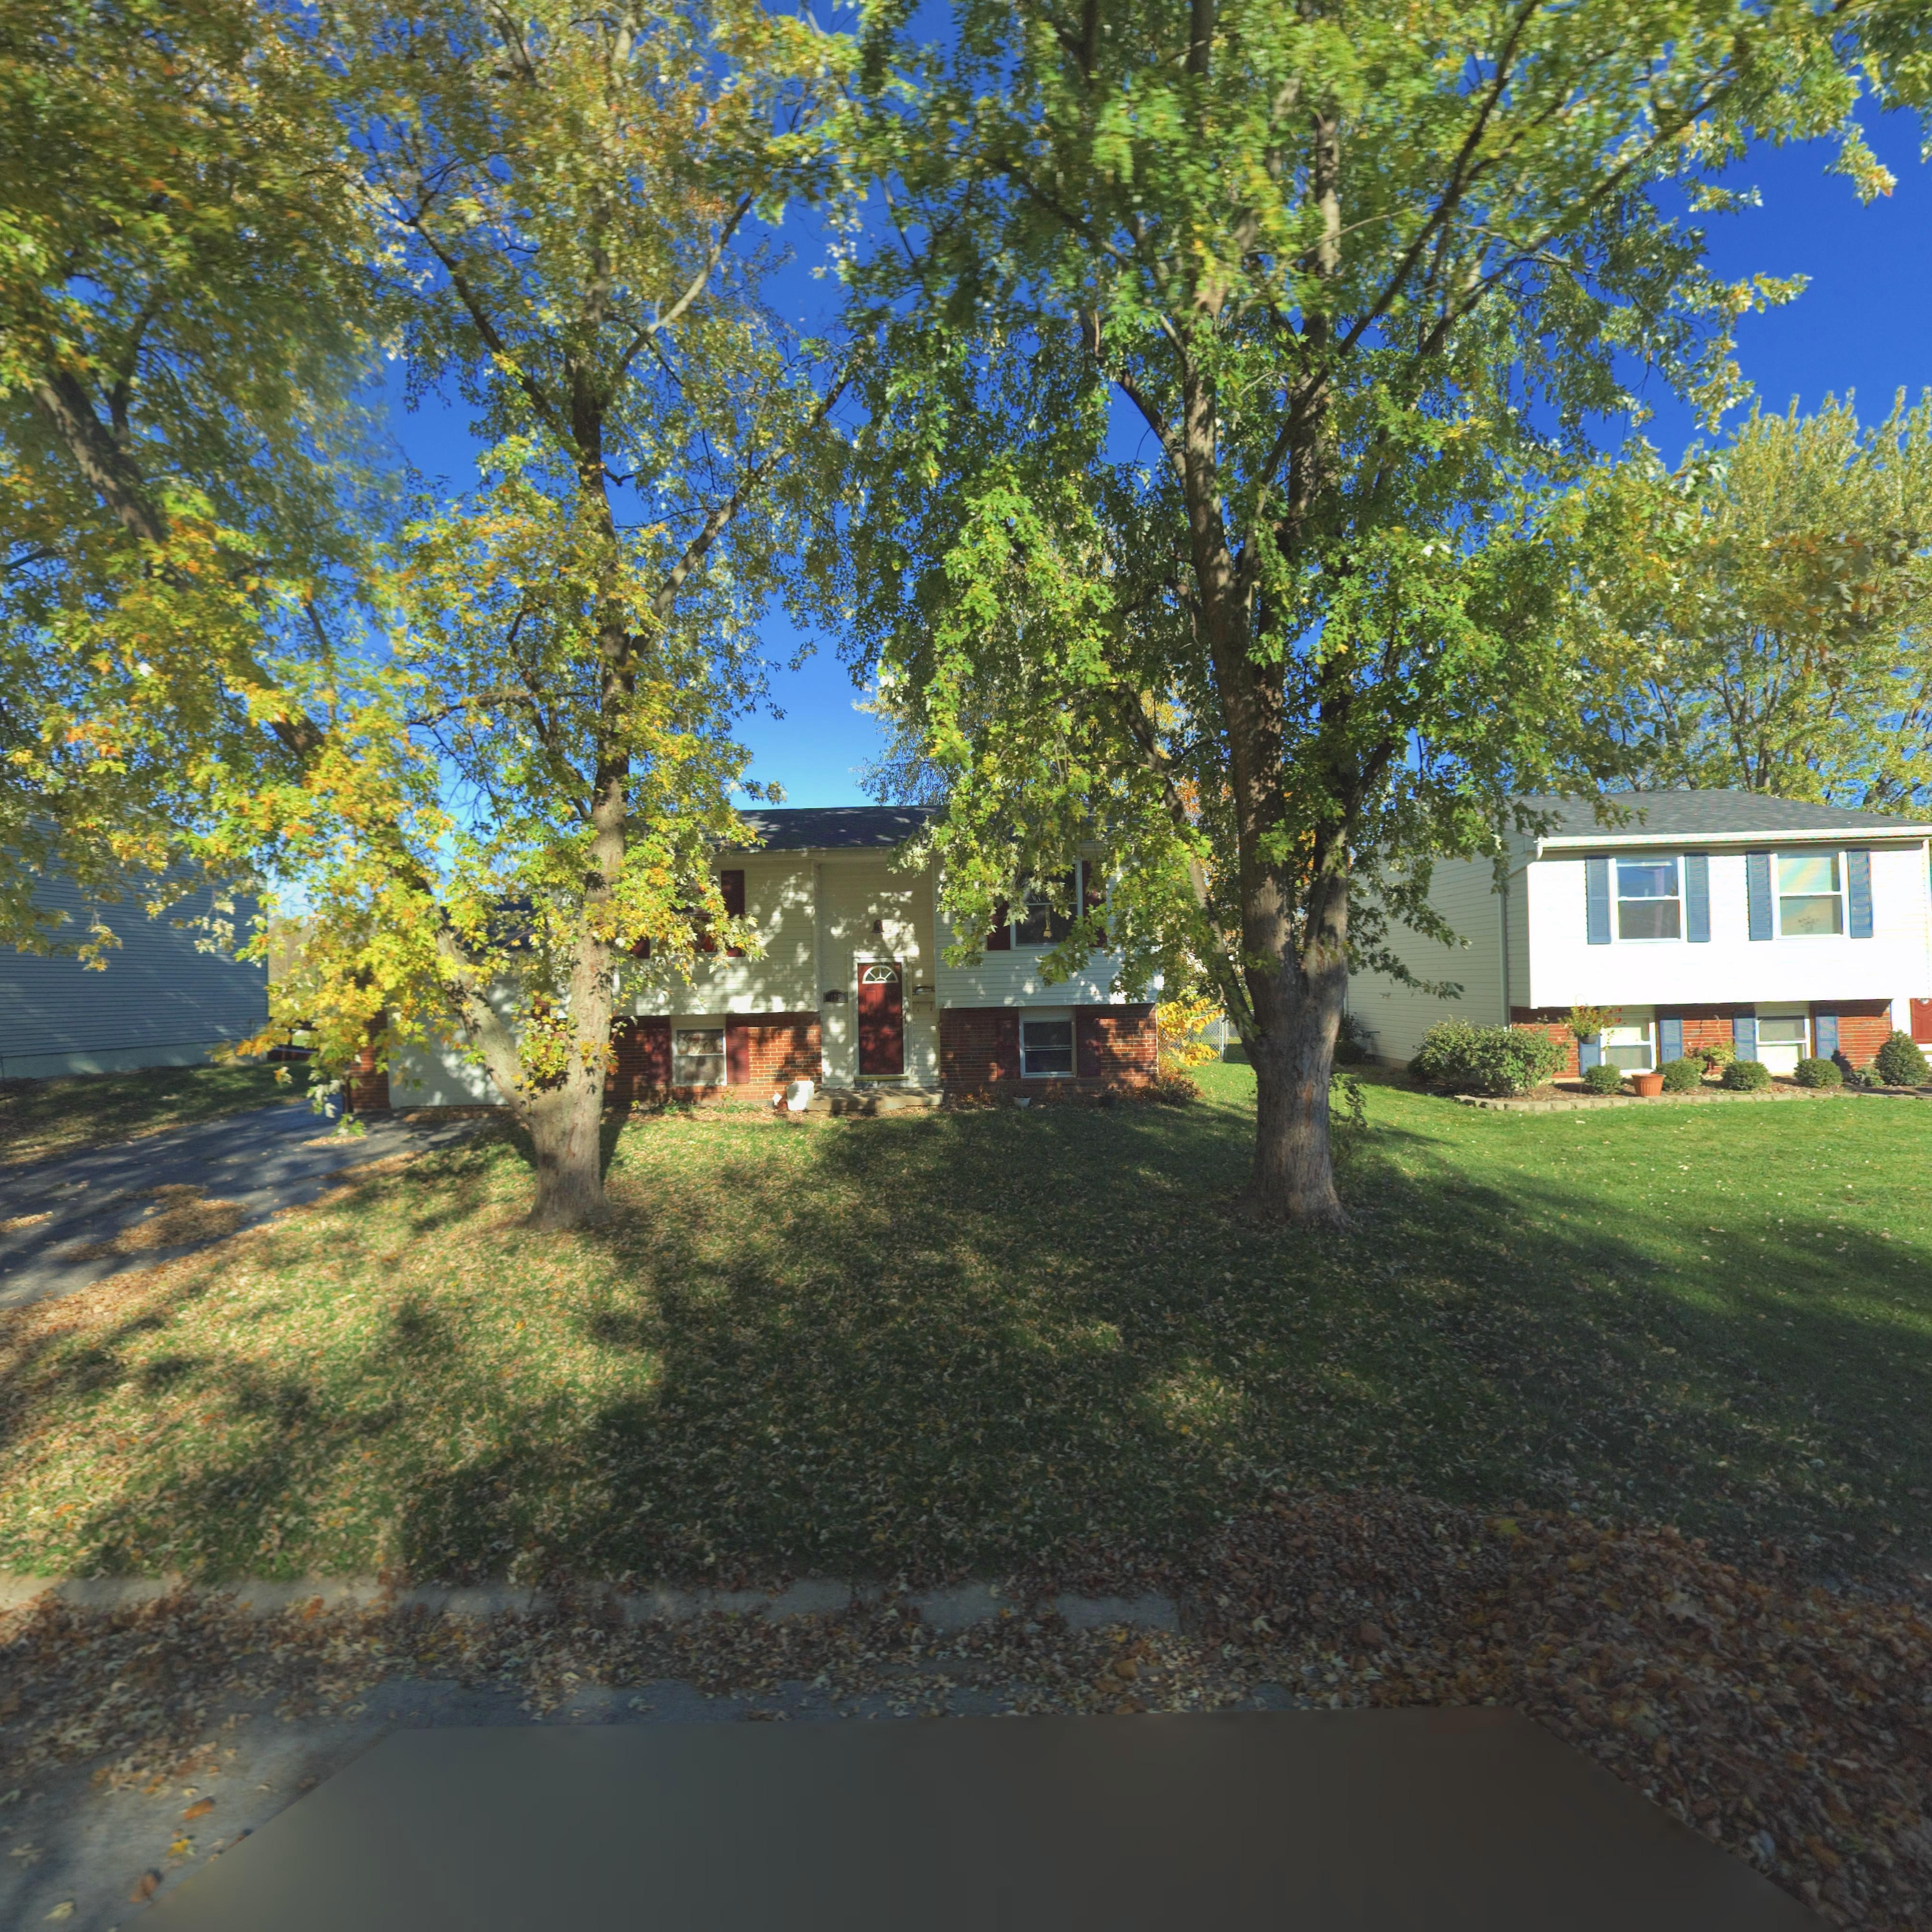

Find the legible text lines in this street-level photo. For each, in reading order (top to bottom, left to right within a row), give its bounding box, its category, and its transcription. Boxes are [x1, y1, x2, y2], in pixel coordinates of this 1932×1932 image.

[831, 994, 841, 1002] StreetNumber: 126